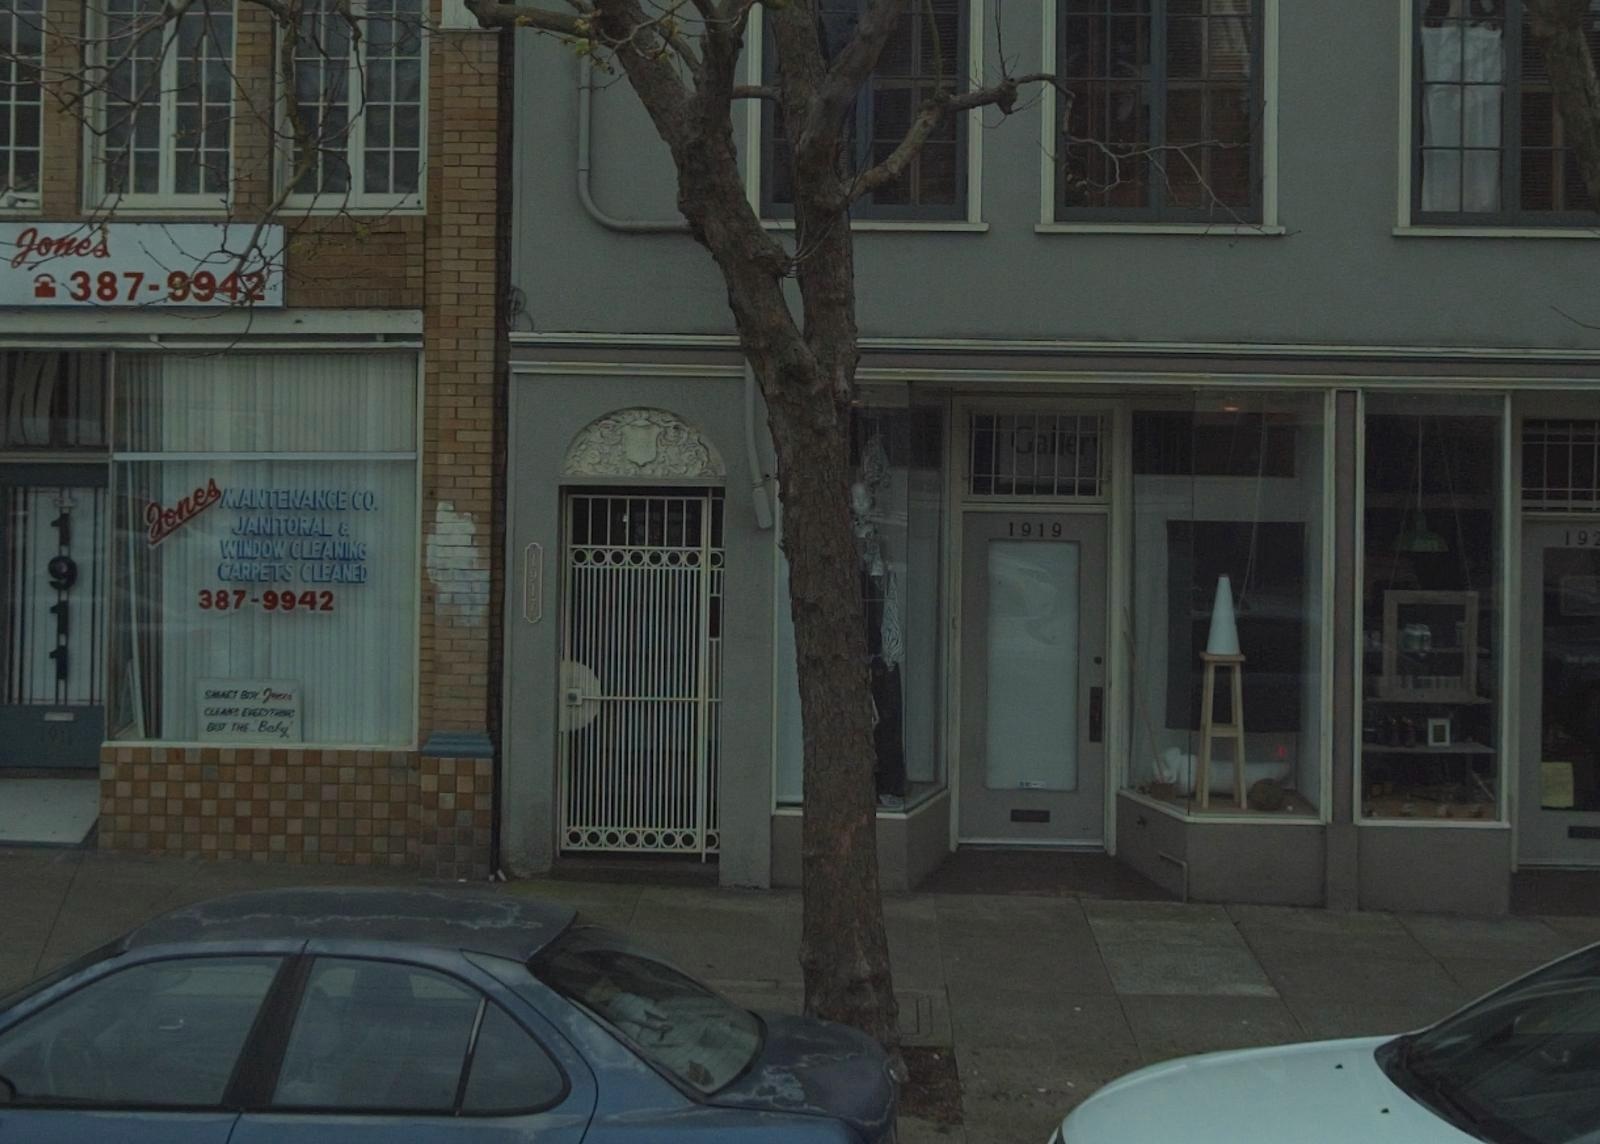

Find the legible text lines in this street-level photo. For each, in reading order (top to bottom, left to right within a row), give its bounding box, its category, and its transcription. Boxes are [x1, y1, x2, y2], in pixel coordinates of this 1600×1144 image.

[8, 226, 111, 270] BusinessName: Jones
[68, 270, 265, 302] None: 387-*942
[141, 475, 221, 545] BusinessName: Jones
[216, 487, 375, 511] BusinessName: MAINTENANCE CO.
[230, 514, 350, 536] None: JANITORAL &
[219, 538, 369, 561] None: WINDOW CLEANING
[1007, 519, 1062, 539] StreetNumber: 1919
[1564, 528, 1589, 548] StreetNumber: 19
[217, 561, 369, 584] None: CARPETS CLEANED
[526, 551, 539, 614] StreetNumber: 1917
[47, 511, 77, 682] StreetNumber: 1911
[198, 589, 335, 612] None: 387-9942
[203, 688, 263, 701] None: SMART BOY
[201, 705, 297, 720] None: CLEANS EVERYTHING
[202, 720, 253, 734] None: BUT THE
[254, 719, 292, 742] None: Baby